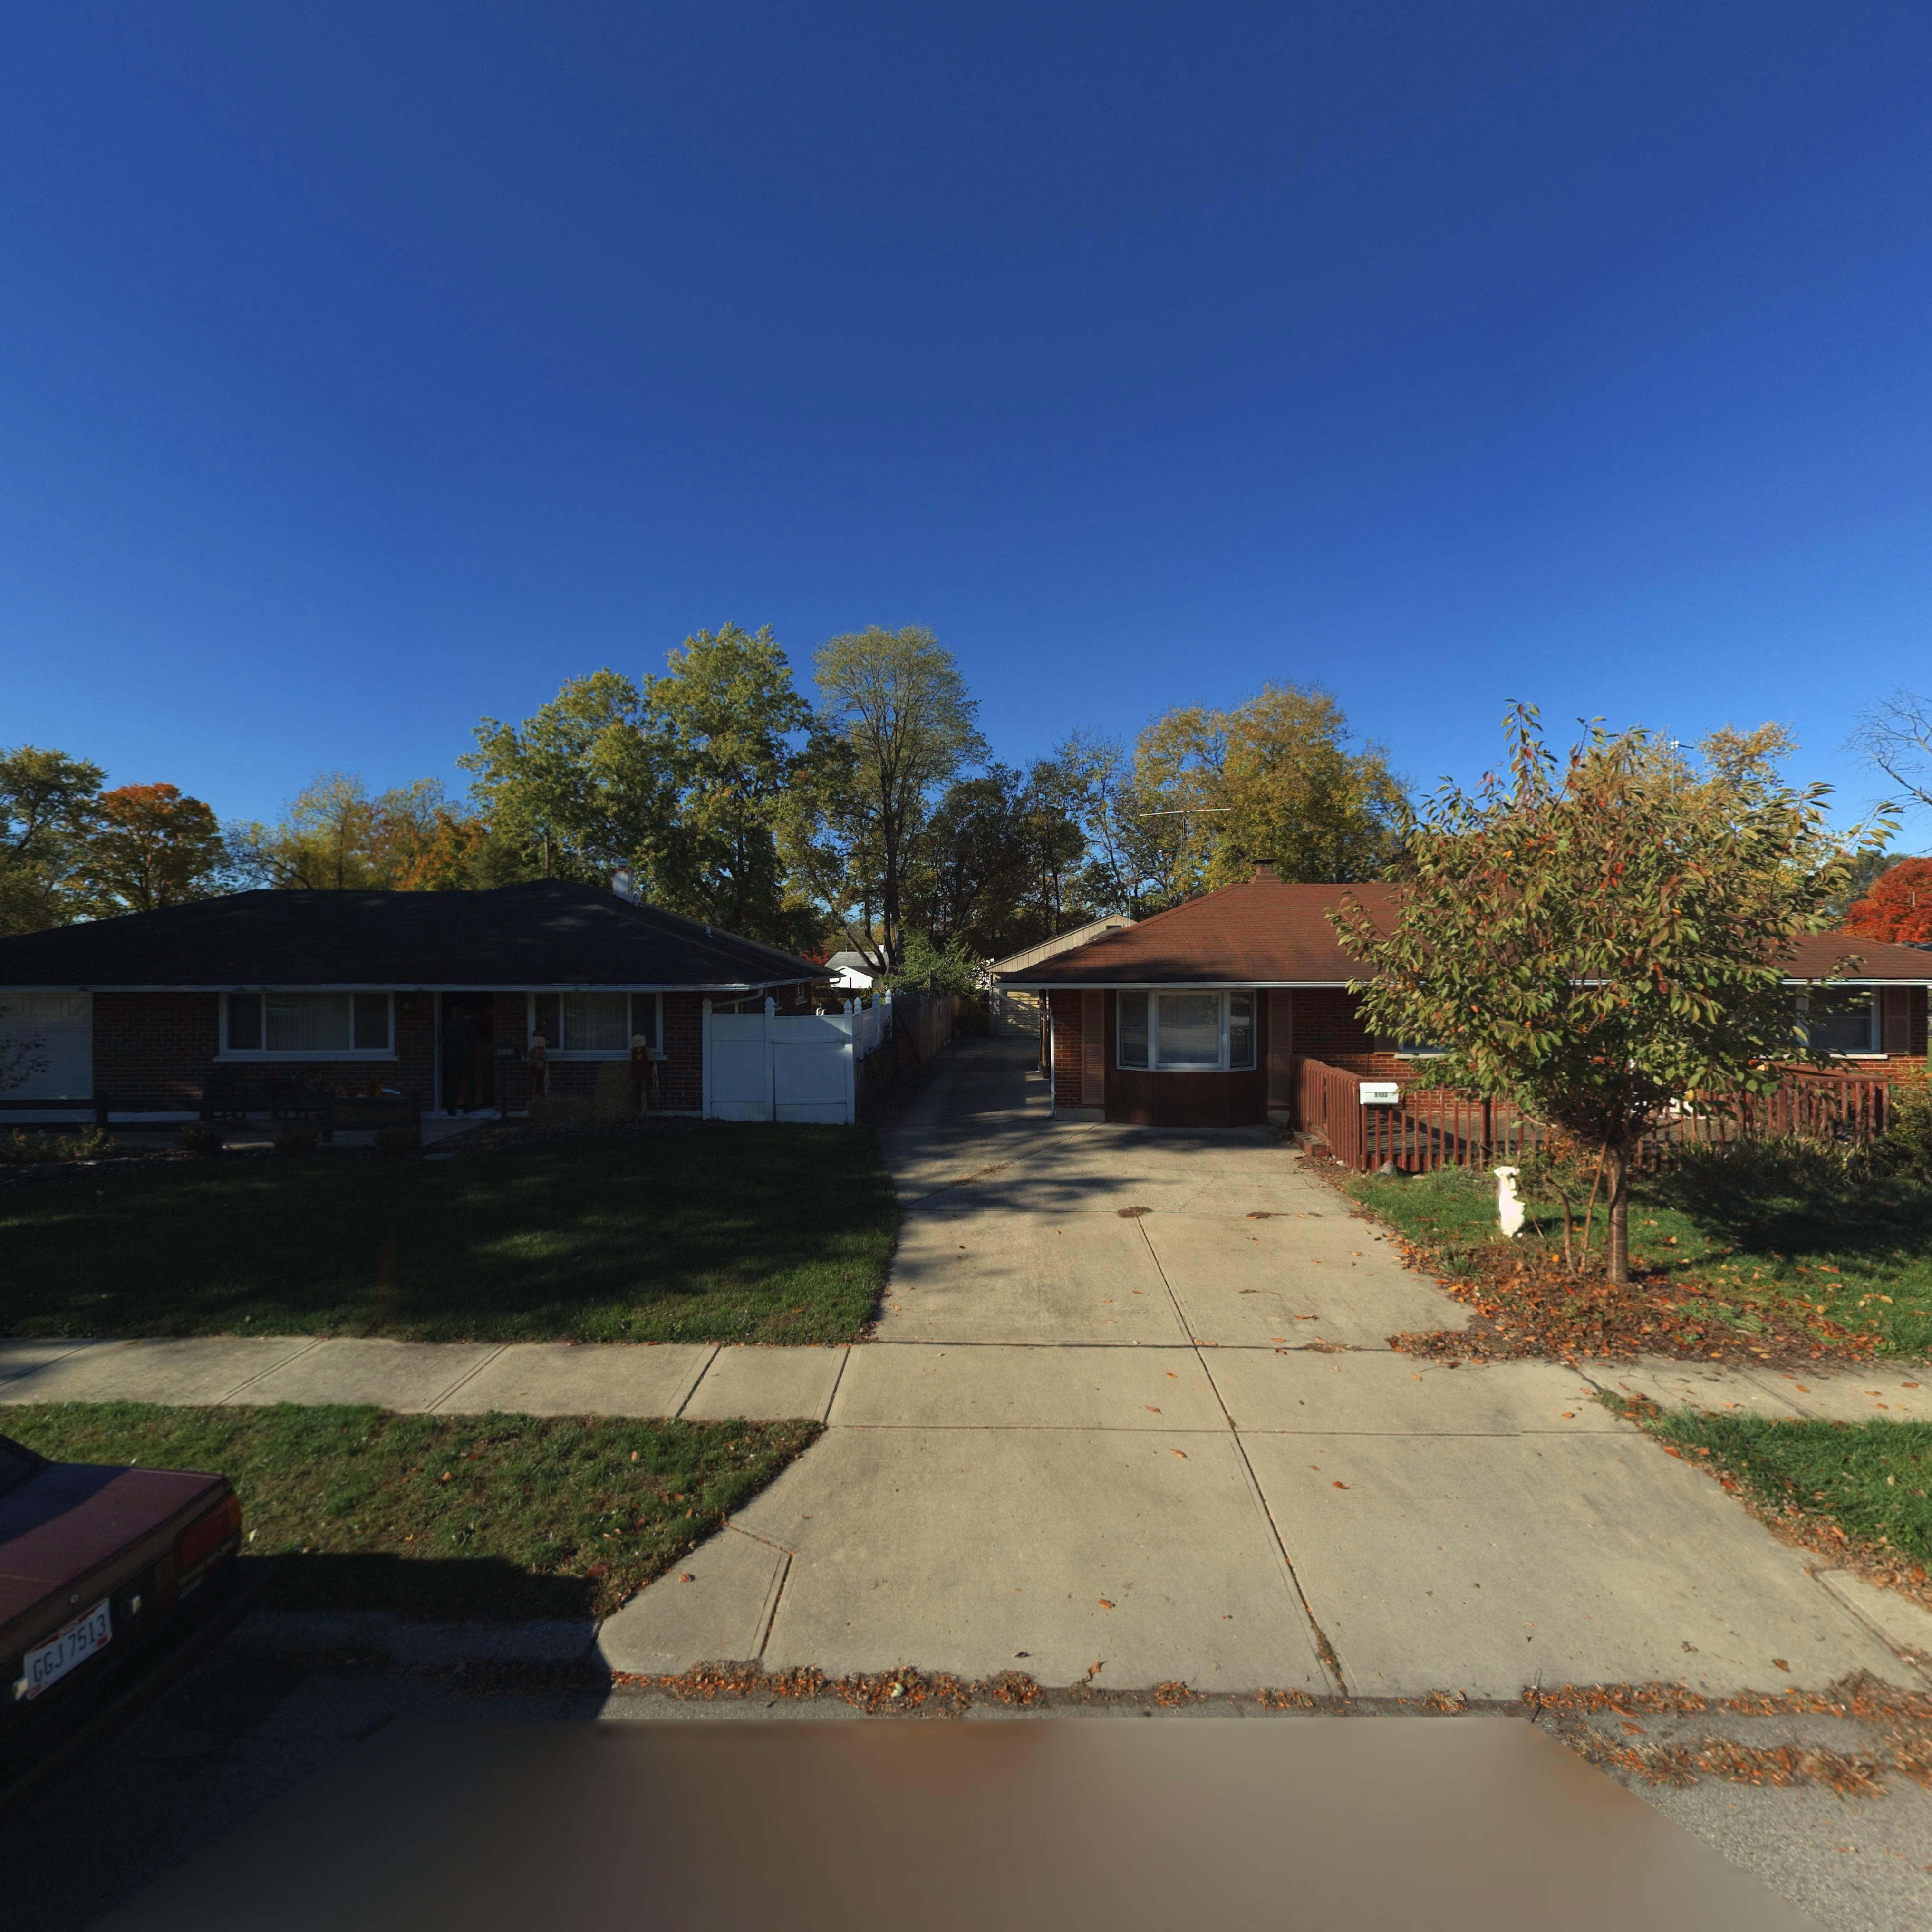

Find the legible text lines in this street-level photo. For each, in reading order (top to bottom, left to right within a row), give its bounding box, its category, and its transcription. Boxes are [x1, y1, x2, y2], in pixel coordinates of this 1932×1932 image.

[493, 1048, 513, 1055] StreetNumber: 5137
[1374, 1092, 1387, 1097] StreetNumber: 5133